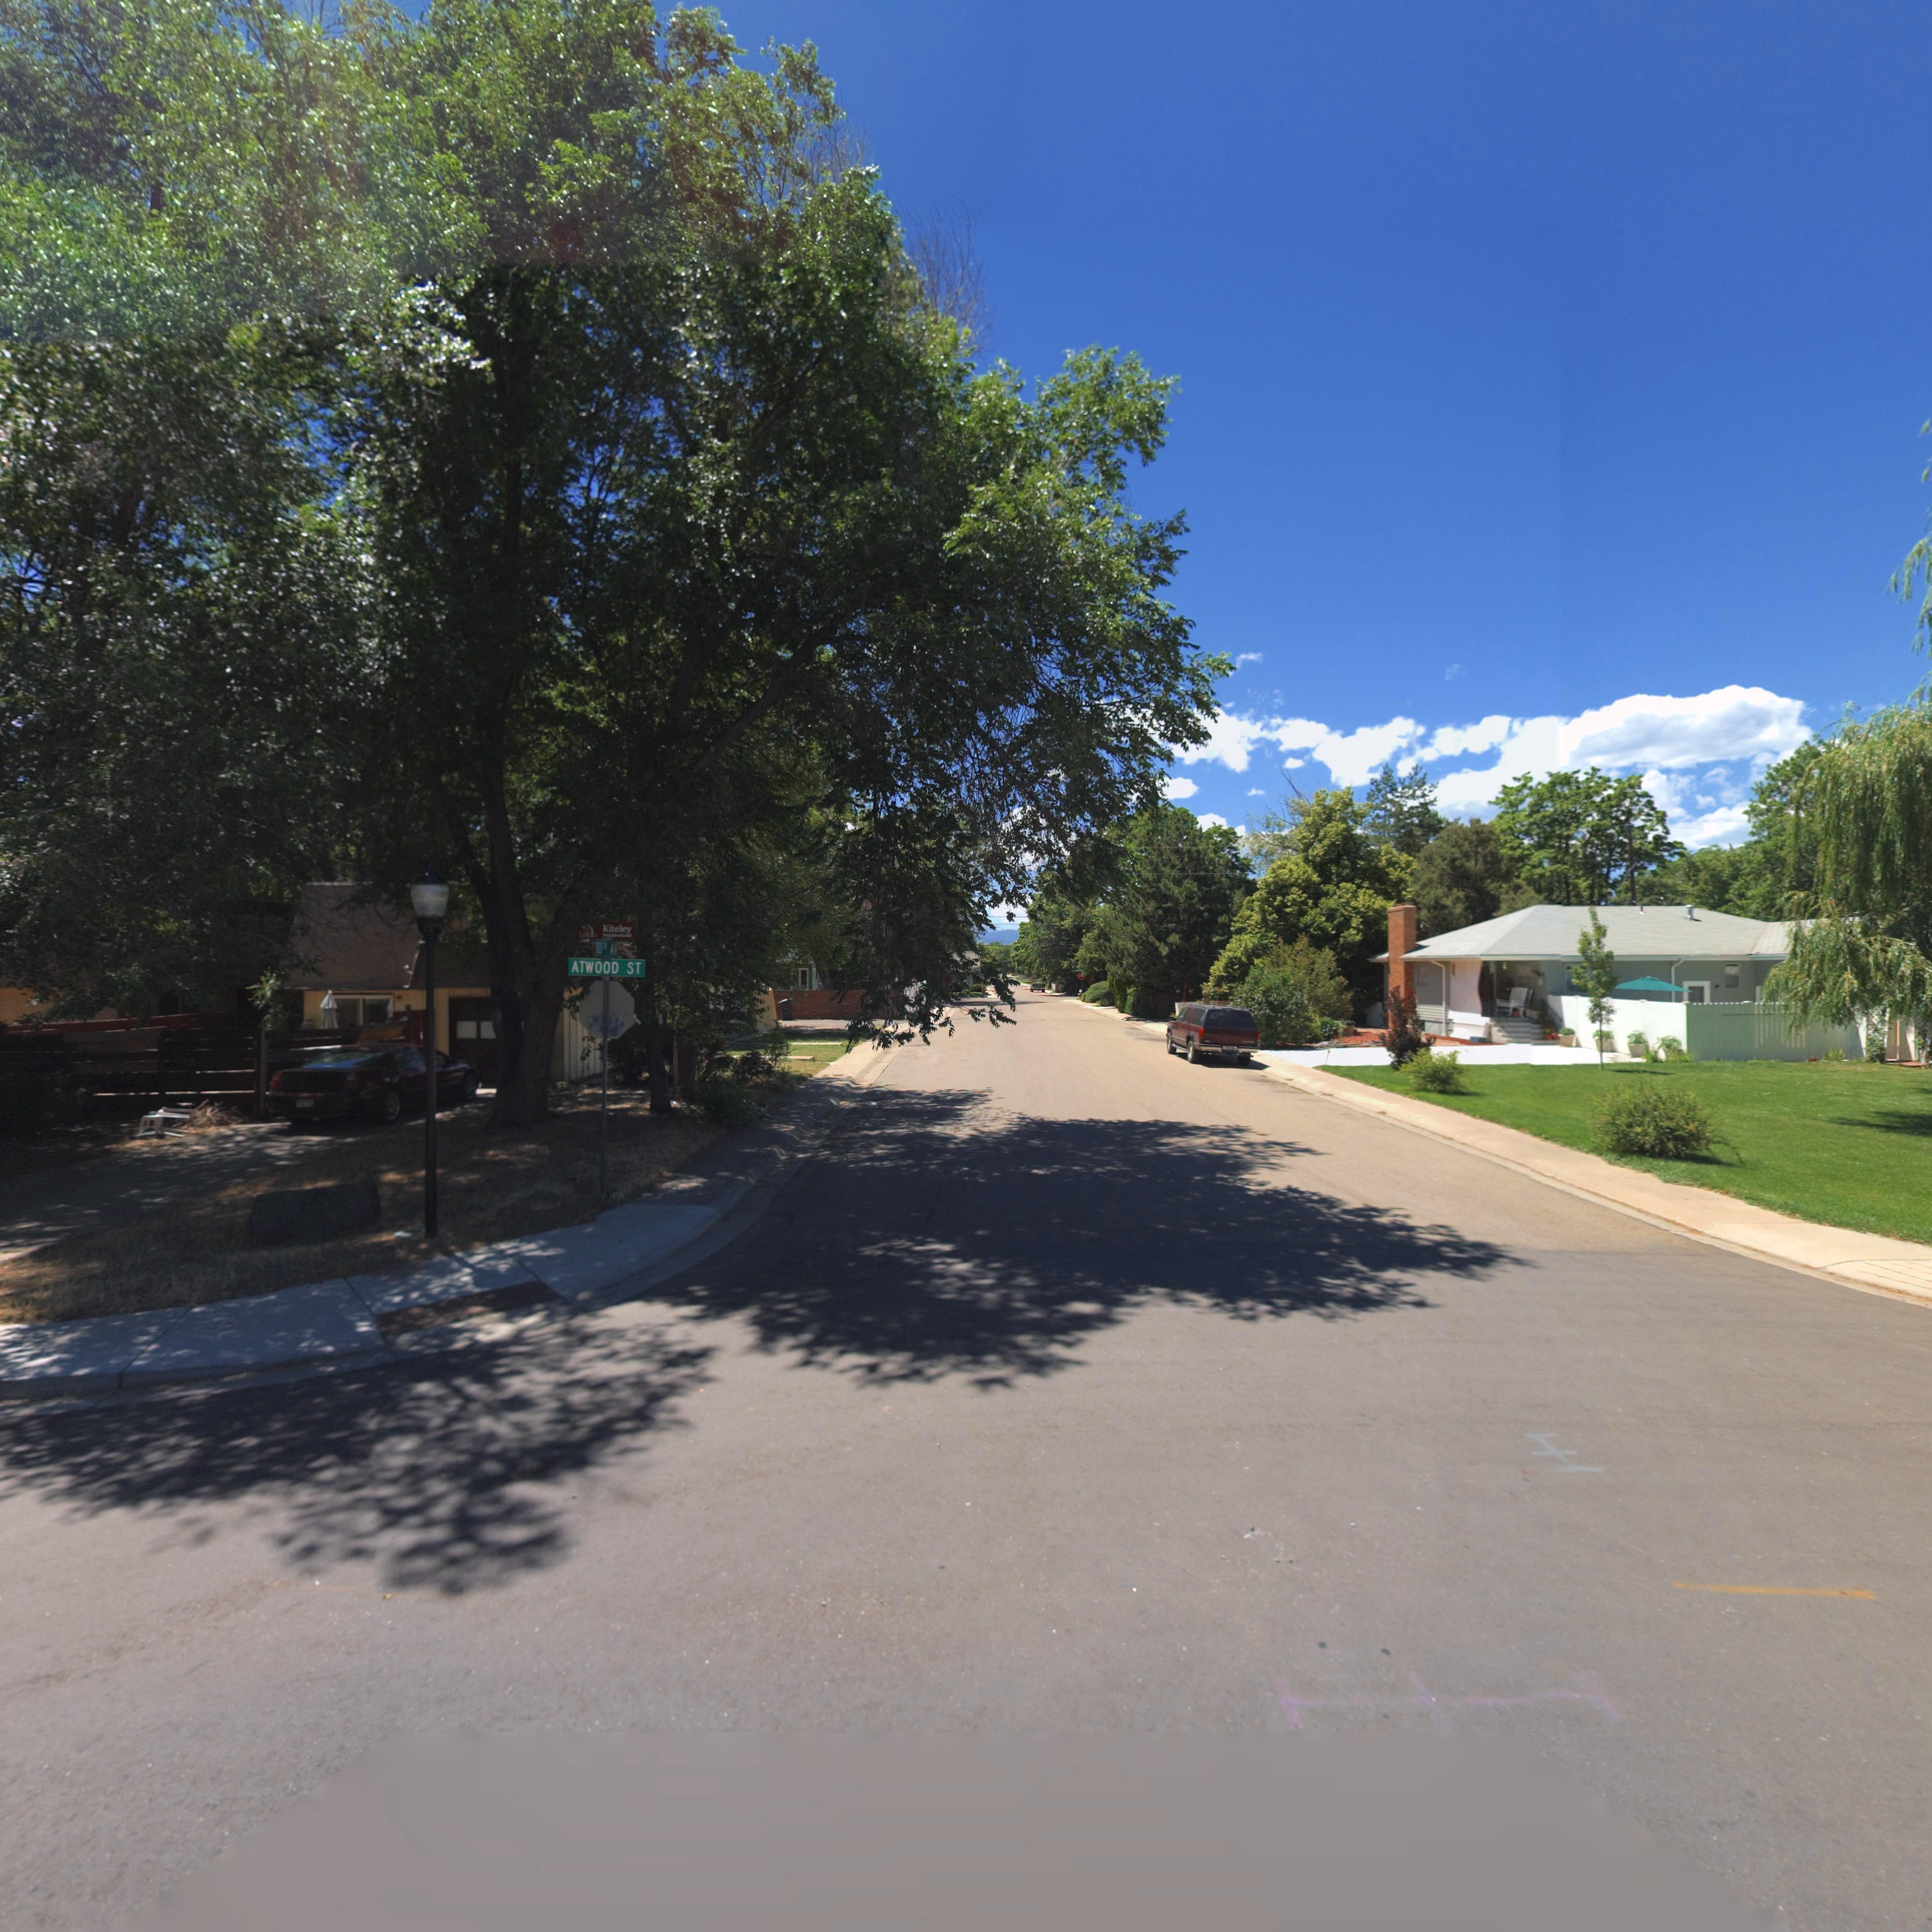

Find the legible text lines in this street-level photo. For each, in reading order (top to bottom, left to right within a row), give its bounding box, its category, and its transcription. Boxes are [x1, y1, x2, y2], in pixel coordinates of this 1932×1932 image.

[595, 941, 618, 956] StreetName: *0** AV
[571, 960, 641, 974] StreetName: ATWOOD ST